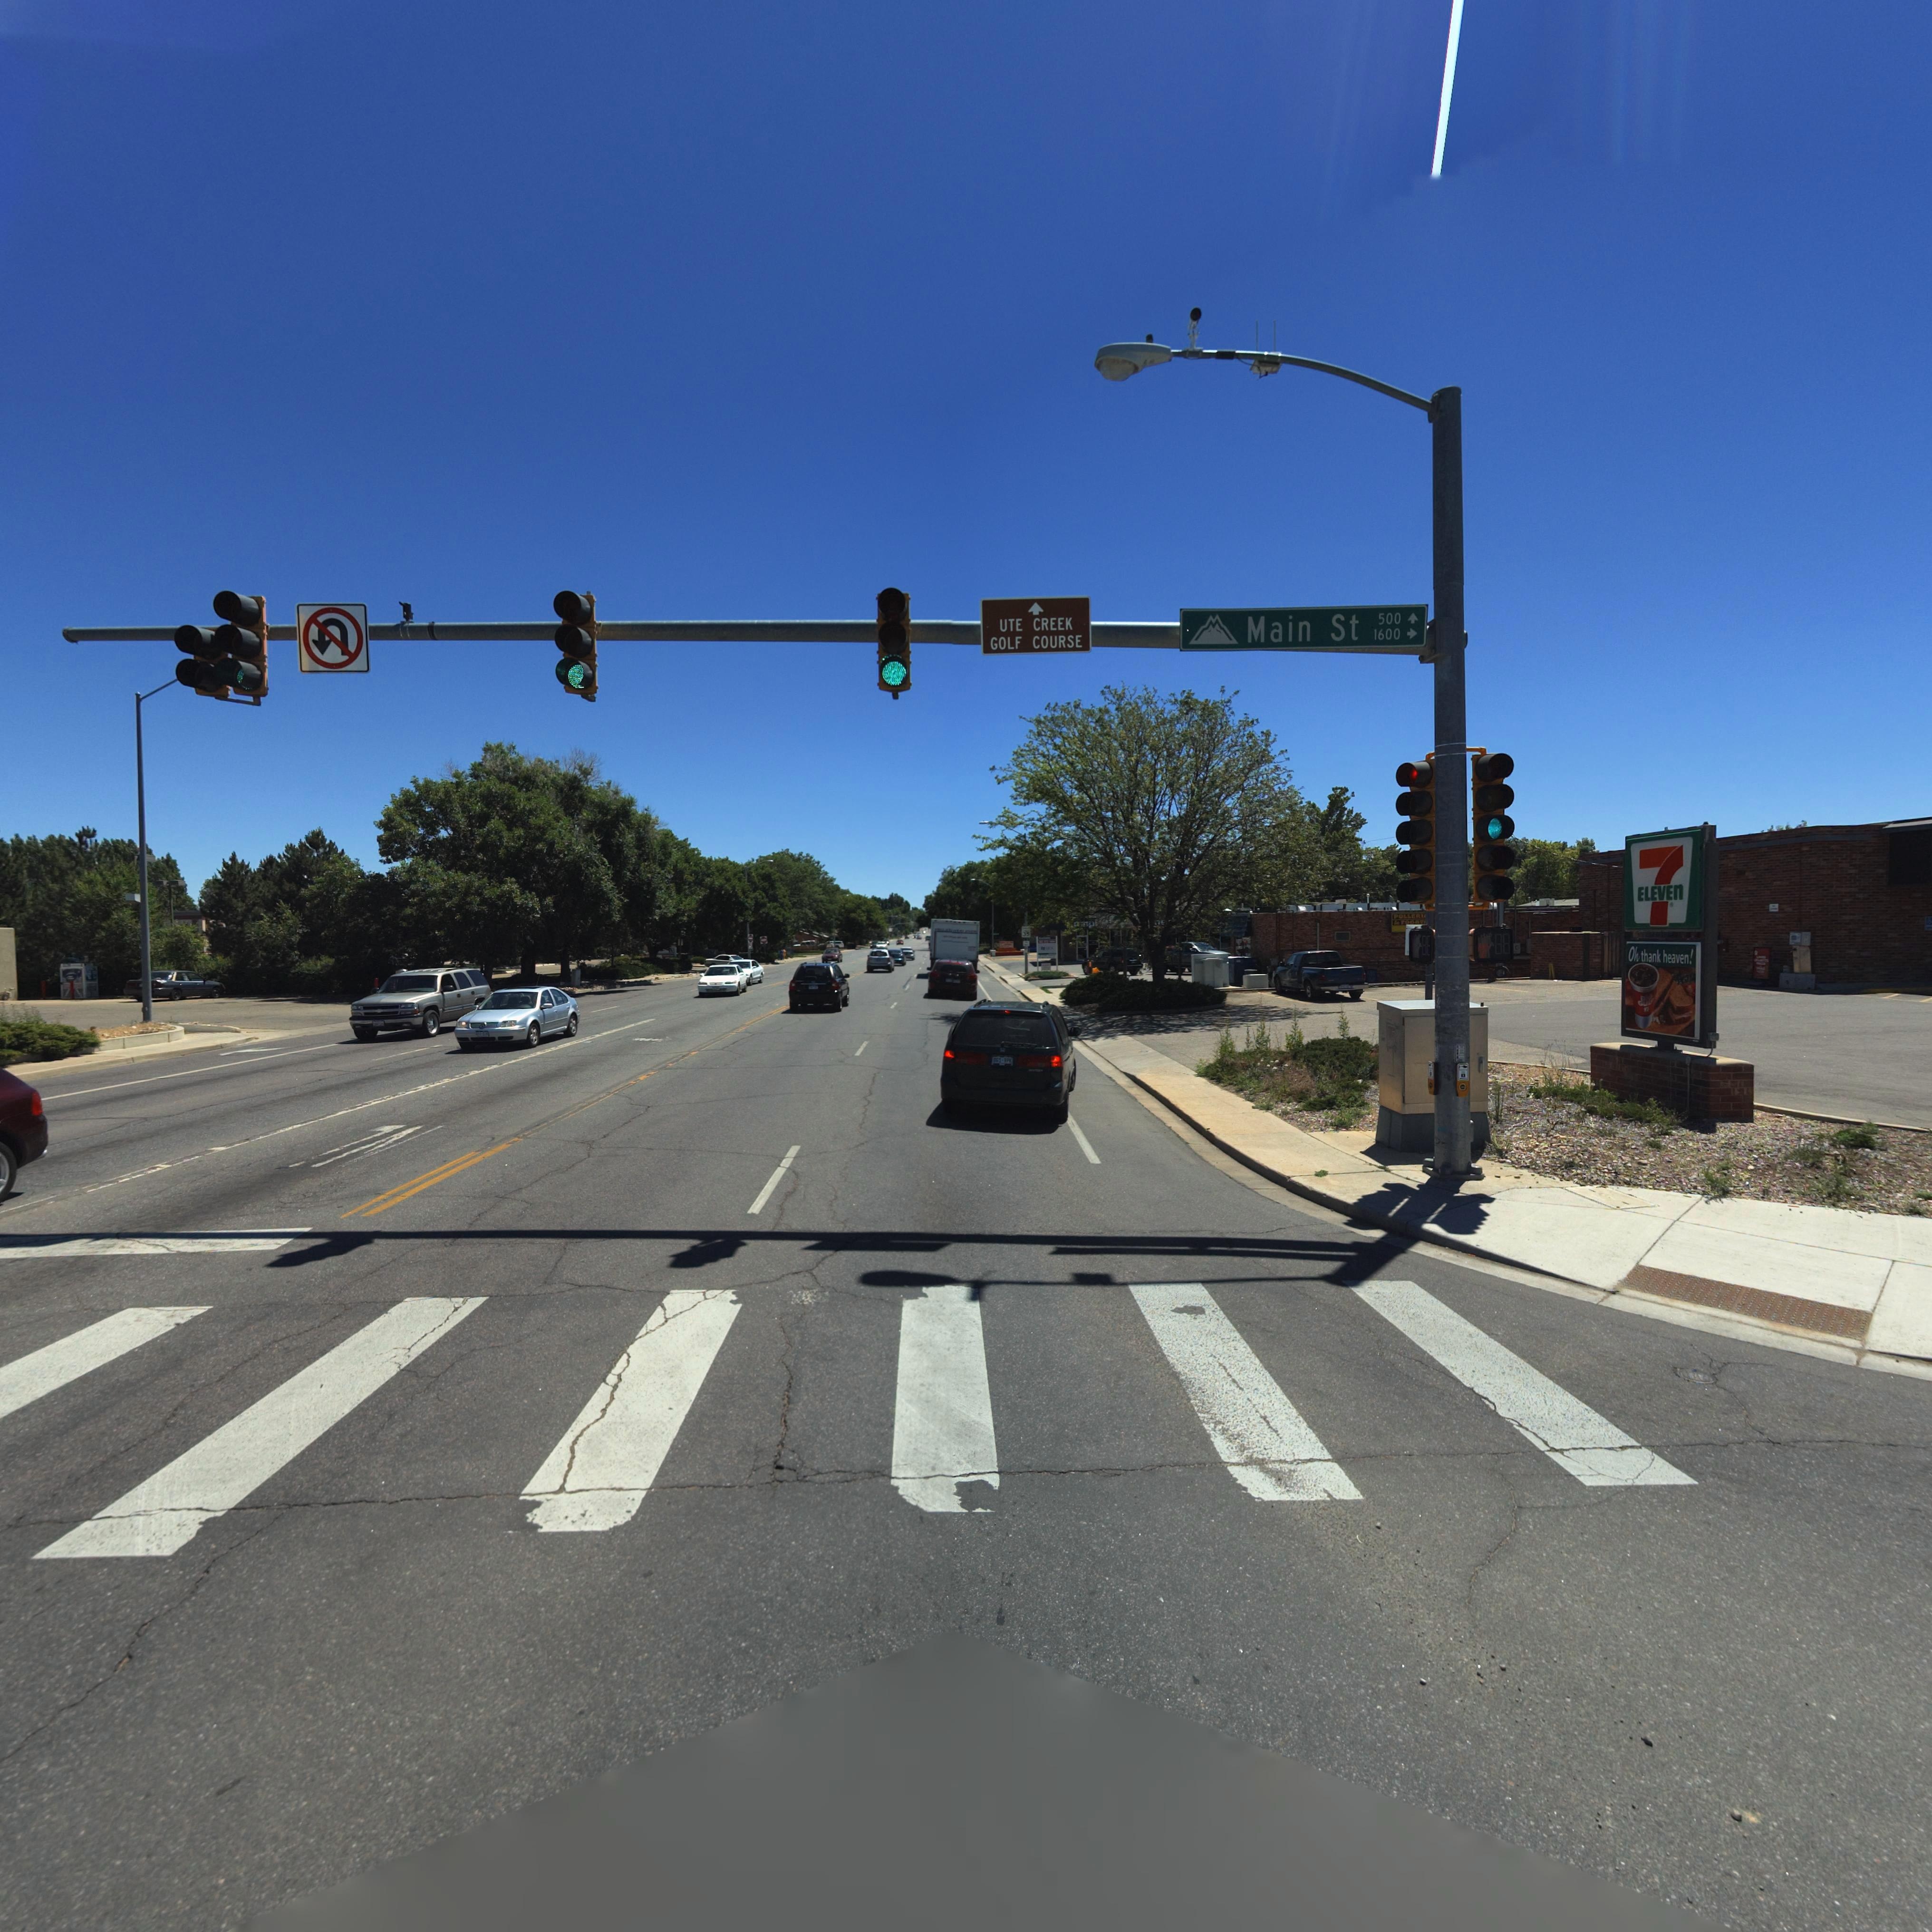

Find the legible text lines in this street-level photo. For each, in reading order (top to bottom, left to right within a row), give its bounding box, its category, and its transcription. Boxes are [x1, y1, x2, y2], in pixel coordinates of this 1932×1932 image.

[1378, 612, 1401, 625] StreetNumberRange: 500
[1247, 612, 1359, 643] StreetName: Main St
[1373, 627, 1420, 641] StreetNumberRange: 1600->
[1638, 843, 1684, 926] BusinessName: 7
[1637, 882, 1684, 902] BusinessName: ELEVEN
[1393, 913, 1424, 919] BusinessName: POLLERI
[1393, 919, 1424, 925] BusinessName: la FOGAT